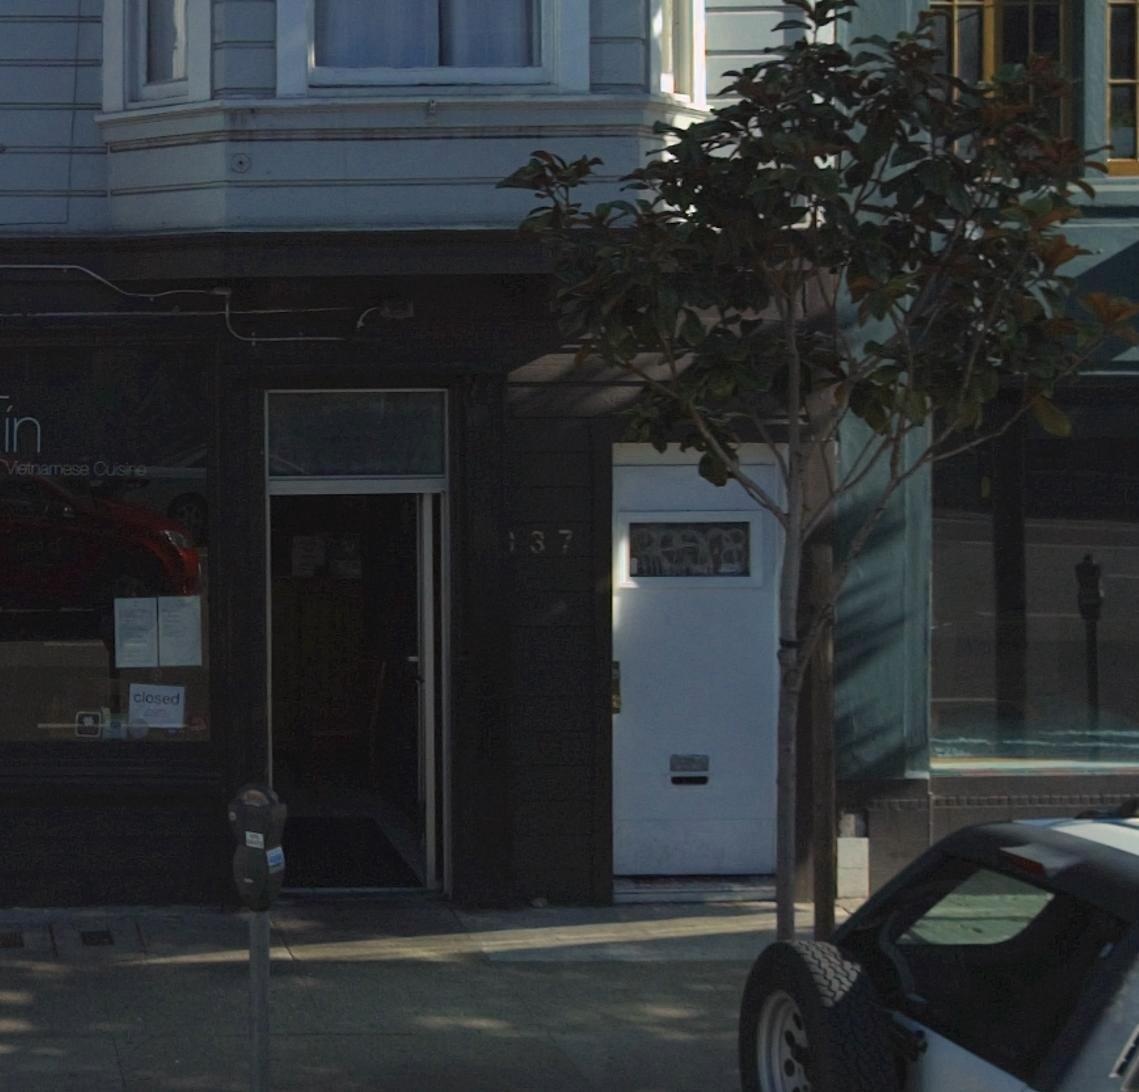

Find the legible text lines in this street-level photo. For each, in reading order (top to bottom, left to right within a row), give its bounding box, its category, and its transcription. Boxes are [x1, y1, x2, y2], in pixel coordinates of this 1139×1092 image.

[0, 400, 43, 457] BusinessName: in
[2, 459, 149, 477] None: Vietnamese Cuisine
[500, 528, 576, 556] StreetNumber: 137
[132, 690, 181, 706] None: closed